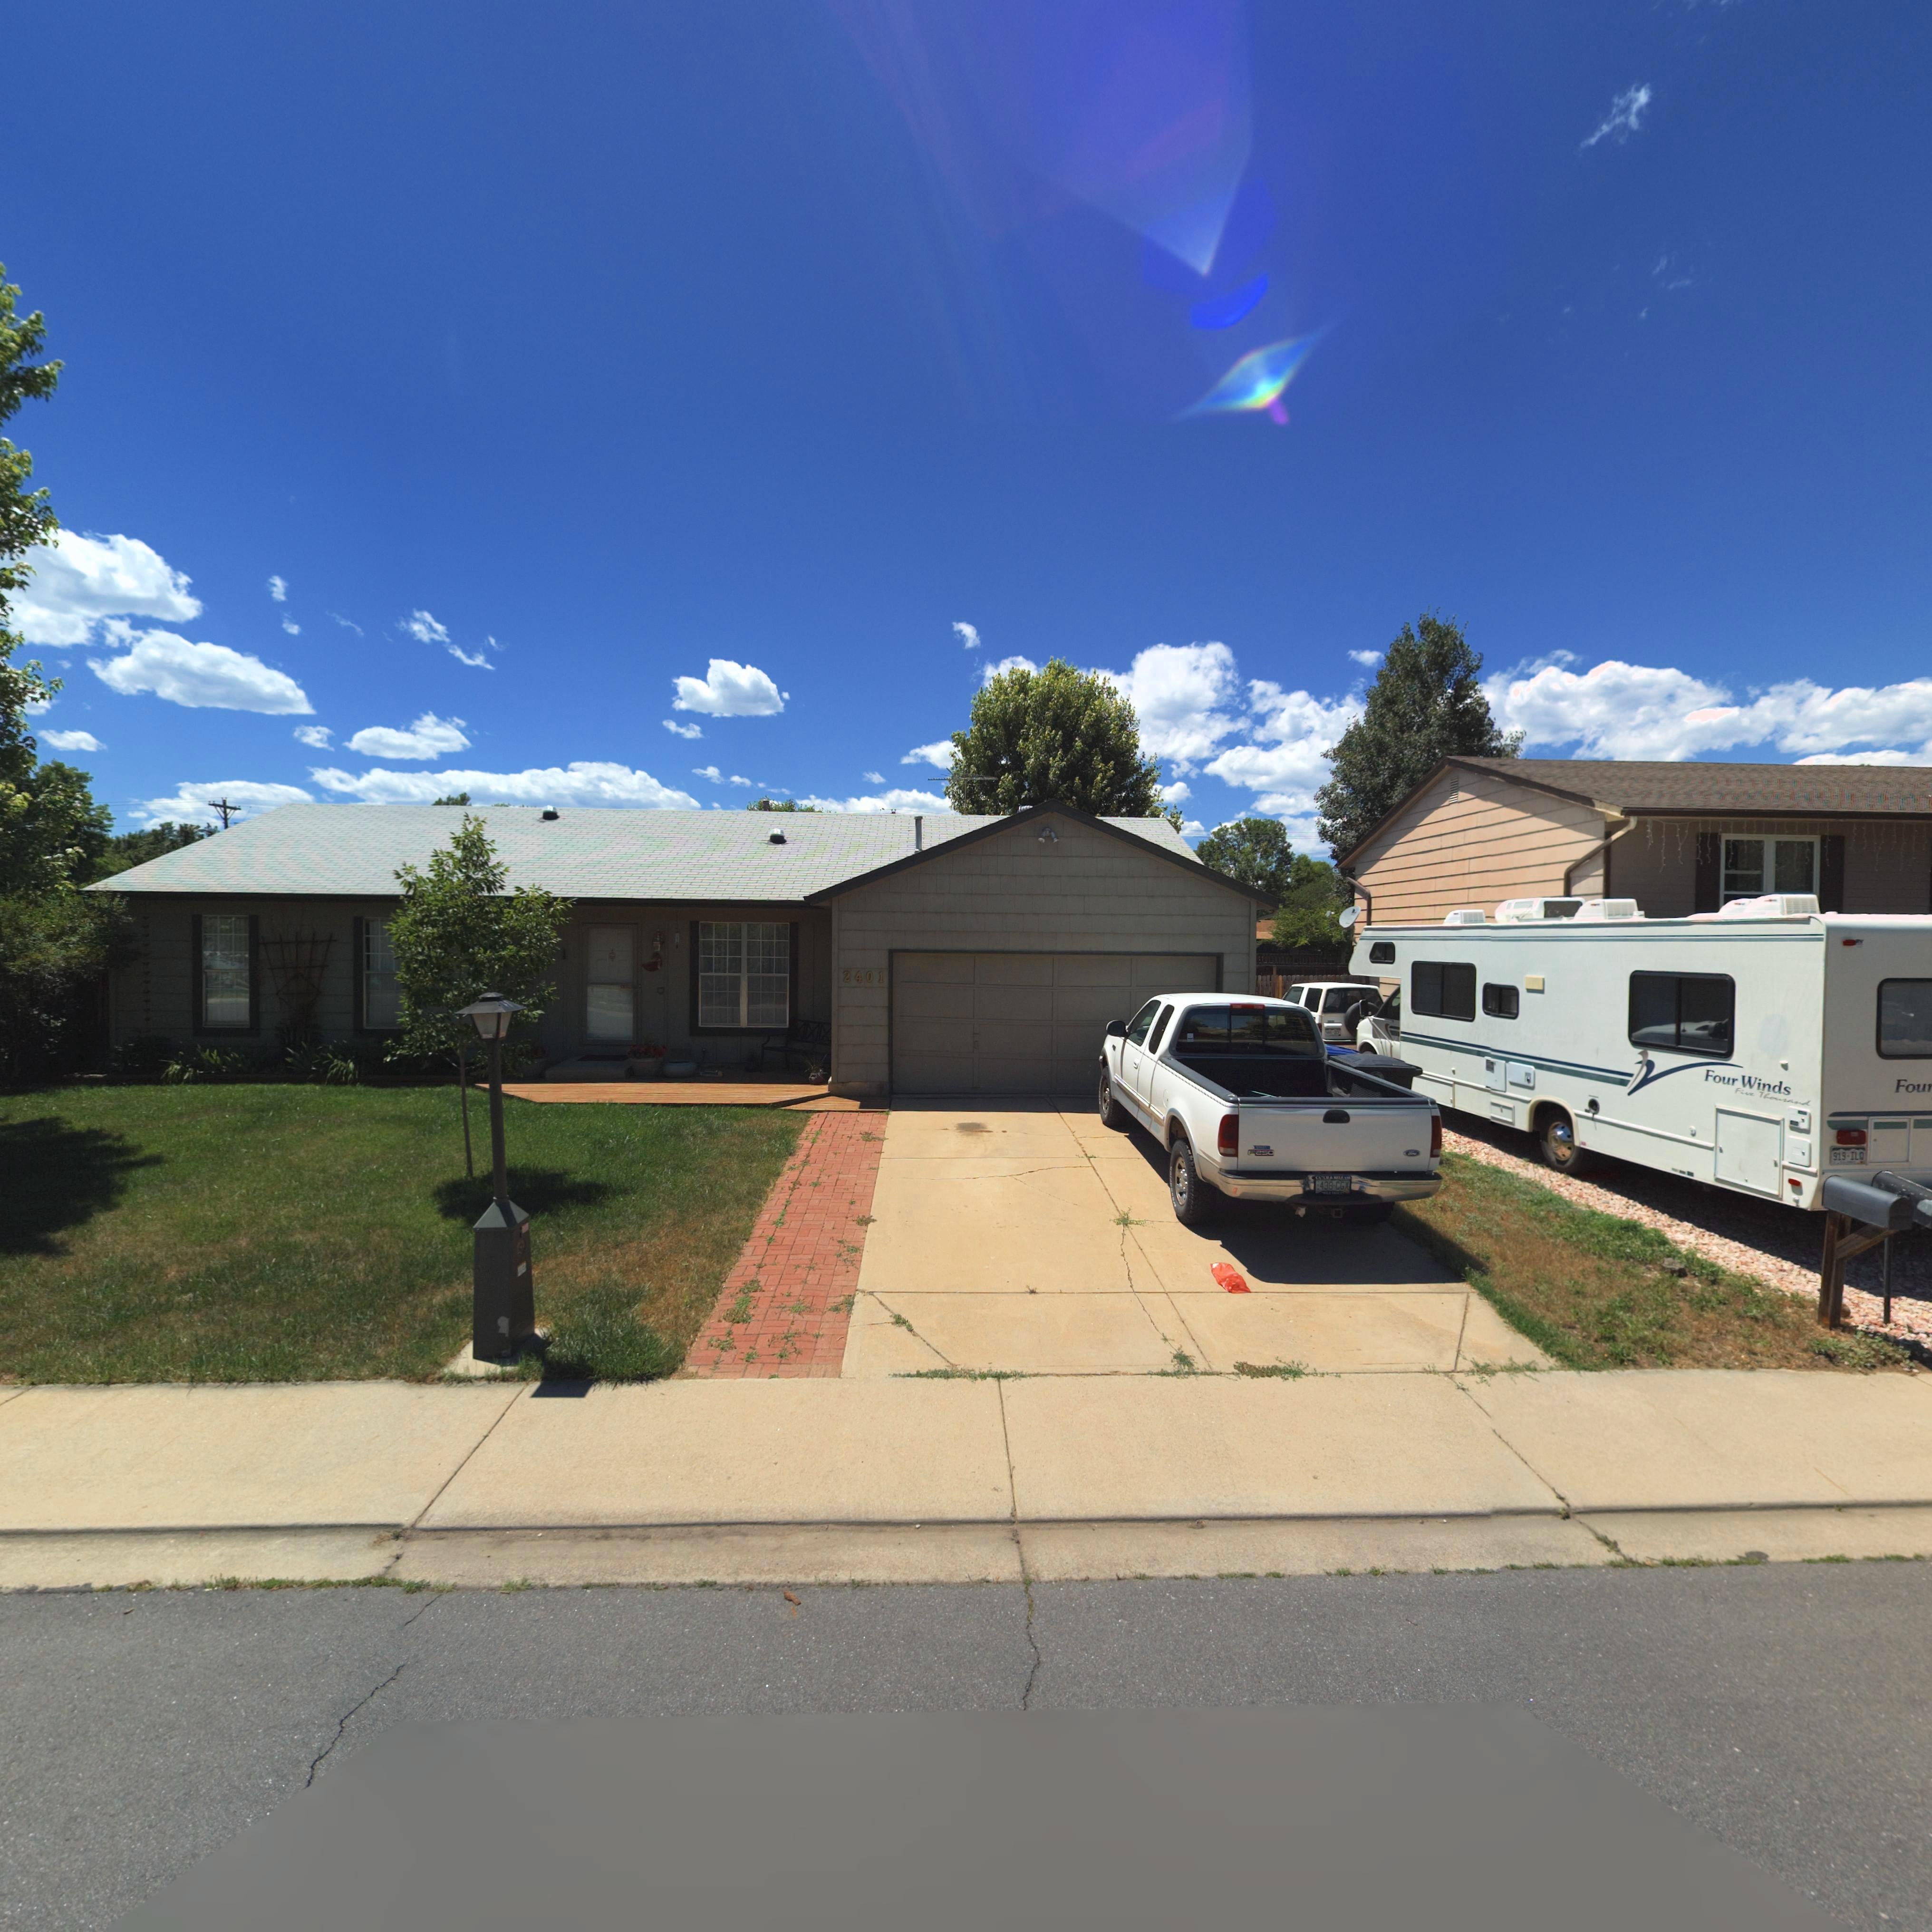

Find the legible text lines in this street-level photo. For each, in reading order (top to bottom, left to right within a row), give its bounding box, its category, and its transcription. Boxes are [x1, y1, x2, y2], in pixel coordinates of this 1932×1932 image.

[843, 970, 883, 983] StreetNumber: 2401